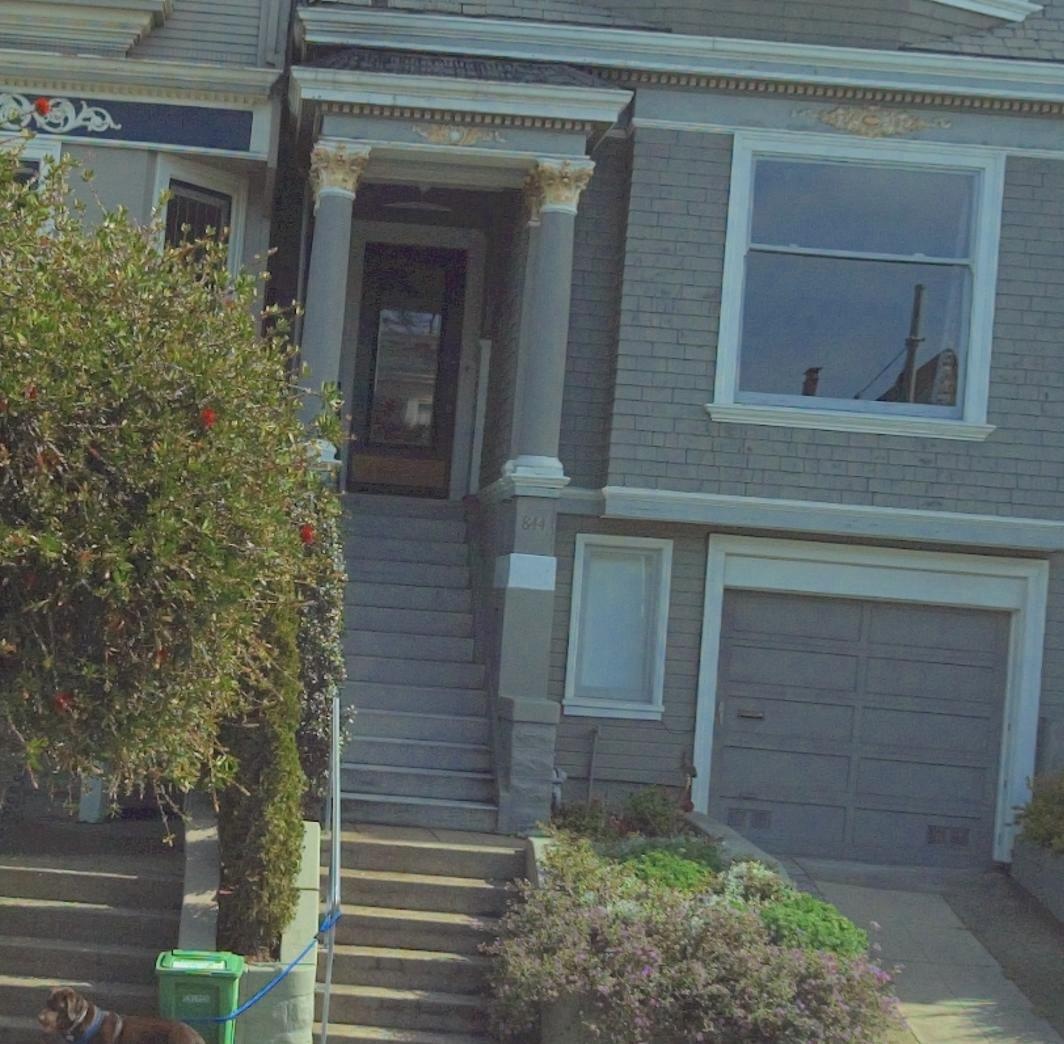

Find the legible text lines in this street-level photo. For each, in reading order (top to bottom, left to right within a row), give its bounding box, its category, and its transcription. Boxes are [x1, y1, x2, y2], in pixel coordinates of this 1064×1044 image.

[519, 514, 547, 534] StreetNumber: 844